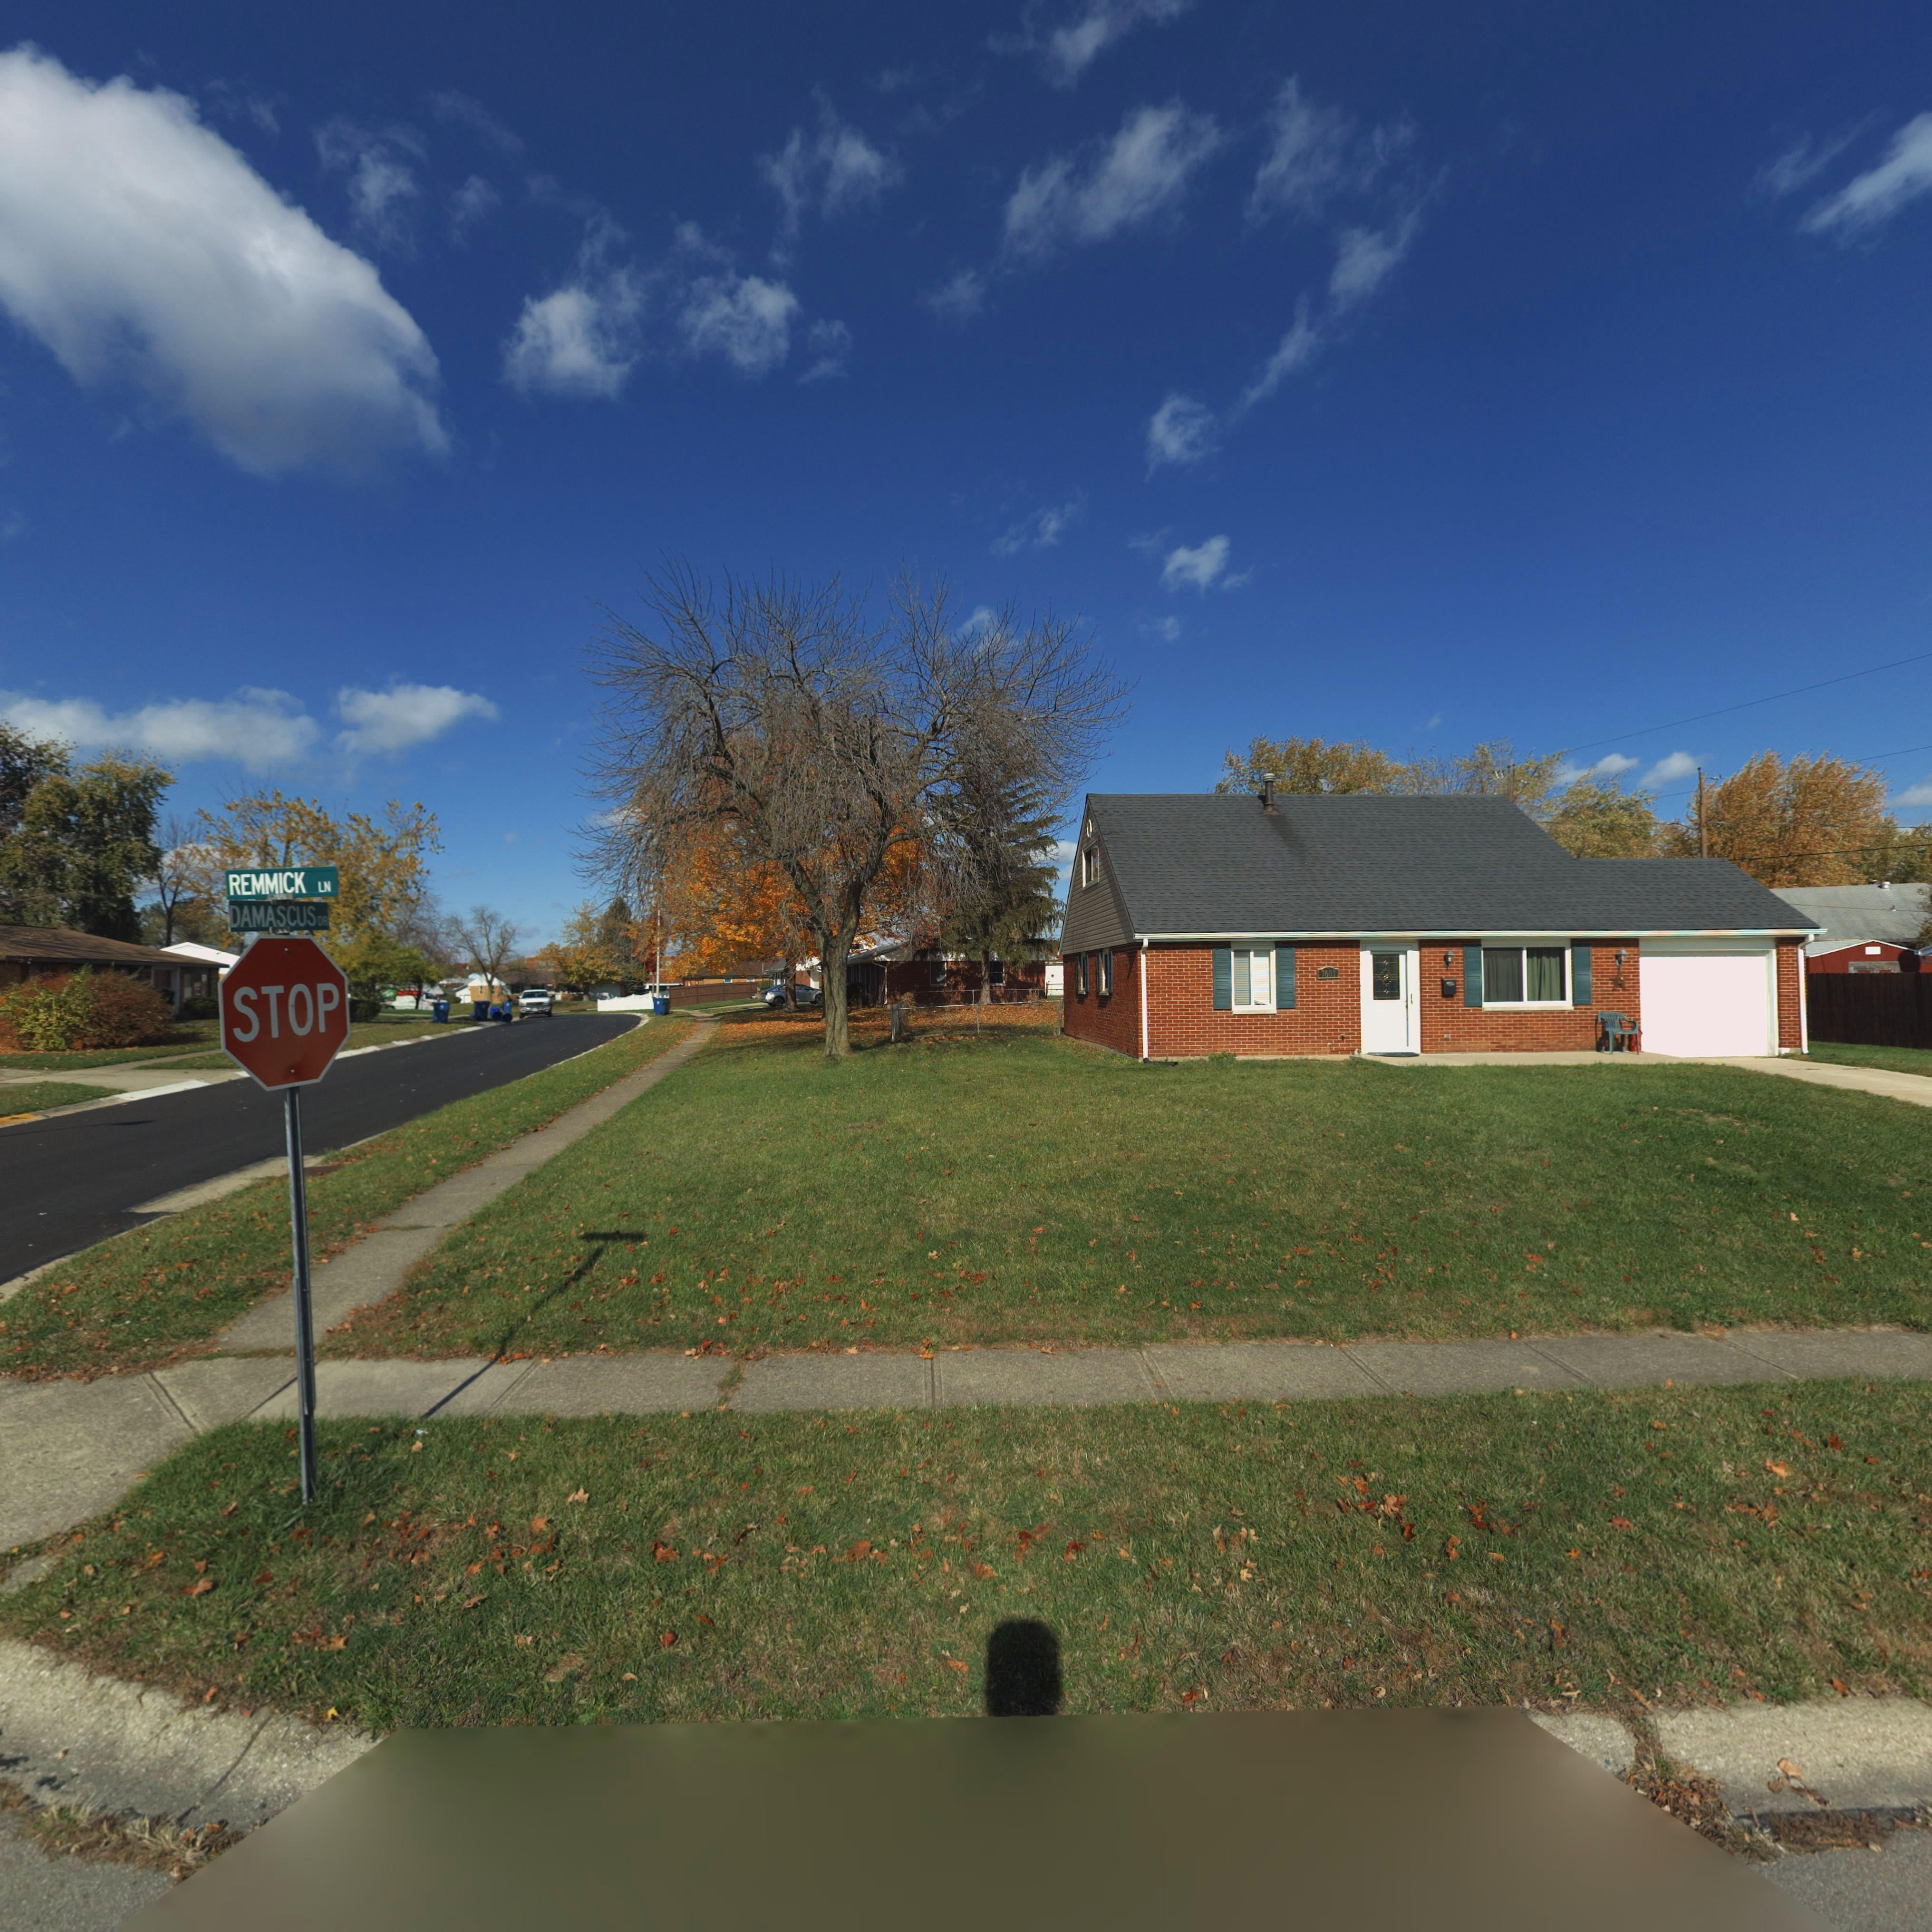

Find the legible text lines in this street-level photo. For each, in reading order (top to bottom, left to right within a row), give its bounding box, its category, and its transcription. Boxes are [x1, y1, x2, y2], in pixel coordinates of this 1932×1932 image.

[227, 870, 332, 896] StreetName: REMMICK LN
[228, 905, 329, 928] StreetName: DAMASCUS DR
[1321, 970, 1336, 977] StreetNumber: 7601